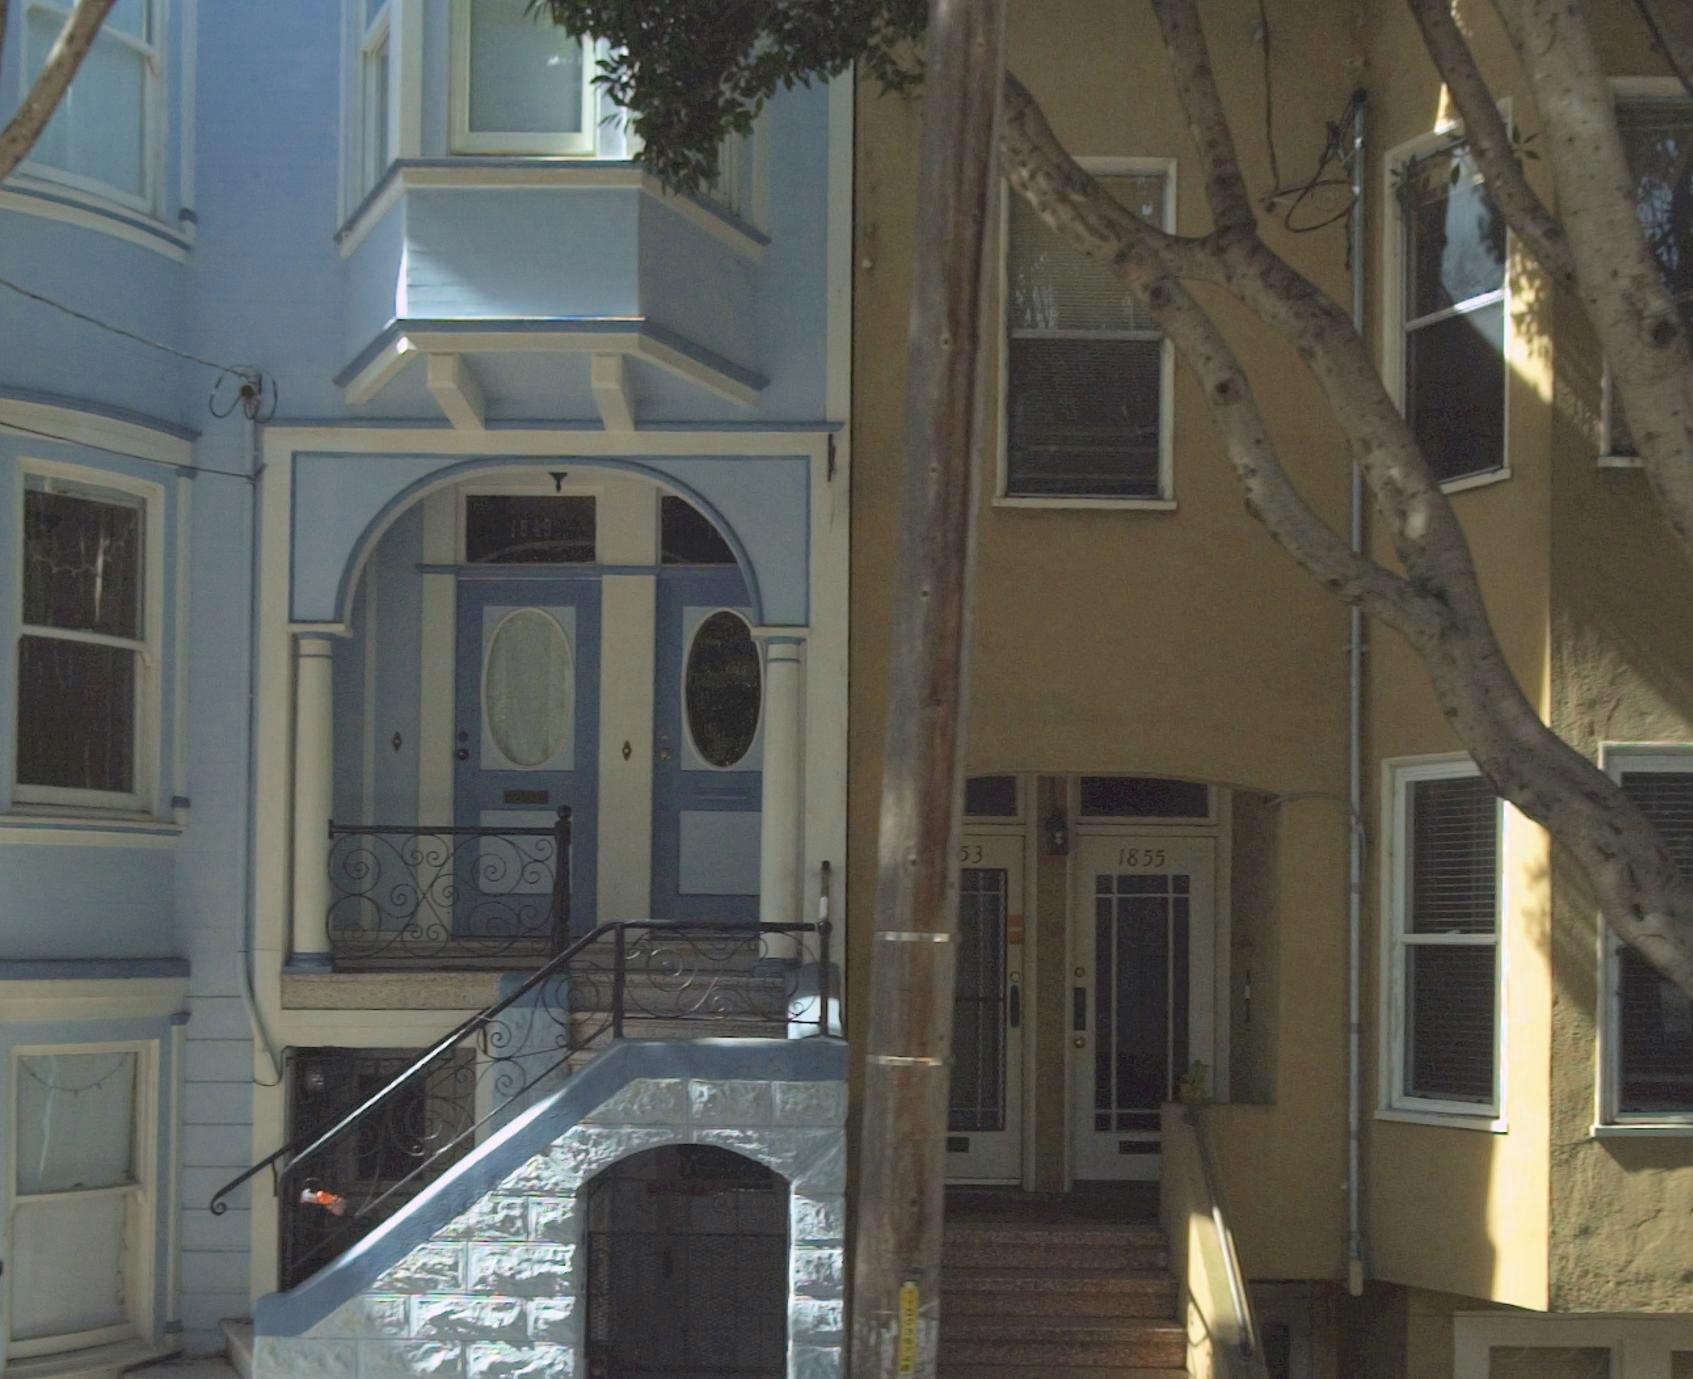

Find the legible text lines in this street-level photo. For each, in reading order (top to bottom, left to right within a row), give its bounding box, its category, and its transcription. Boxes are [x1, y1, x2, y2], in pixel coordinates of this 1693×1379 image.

[509, 517, 566, 541] StreetNumber: 1849
[959, 843, 985, 866] StreetNumber: *3
[1117, 847, 1166, 869] StreetNumber: 1855
[897, 1285, 918, 1375] None: **003****